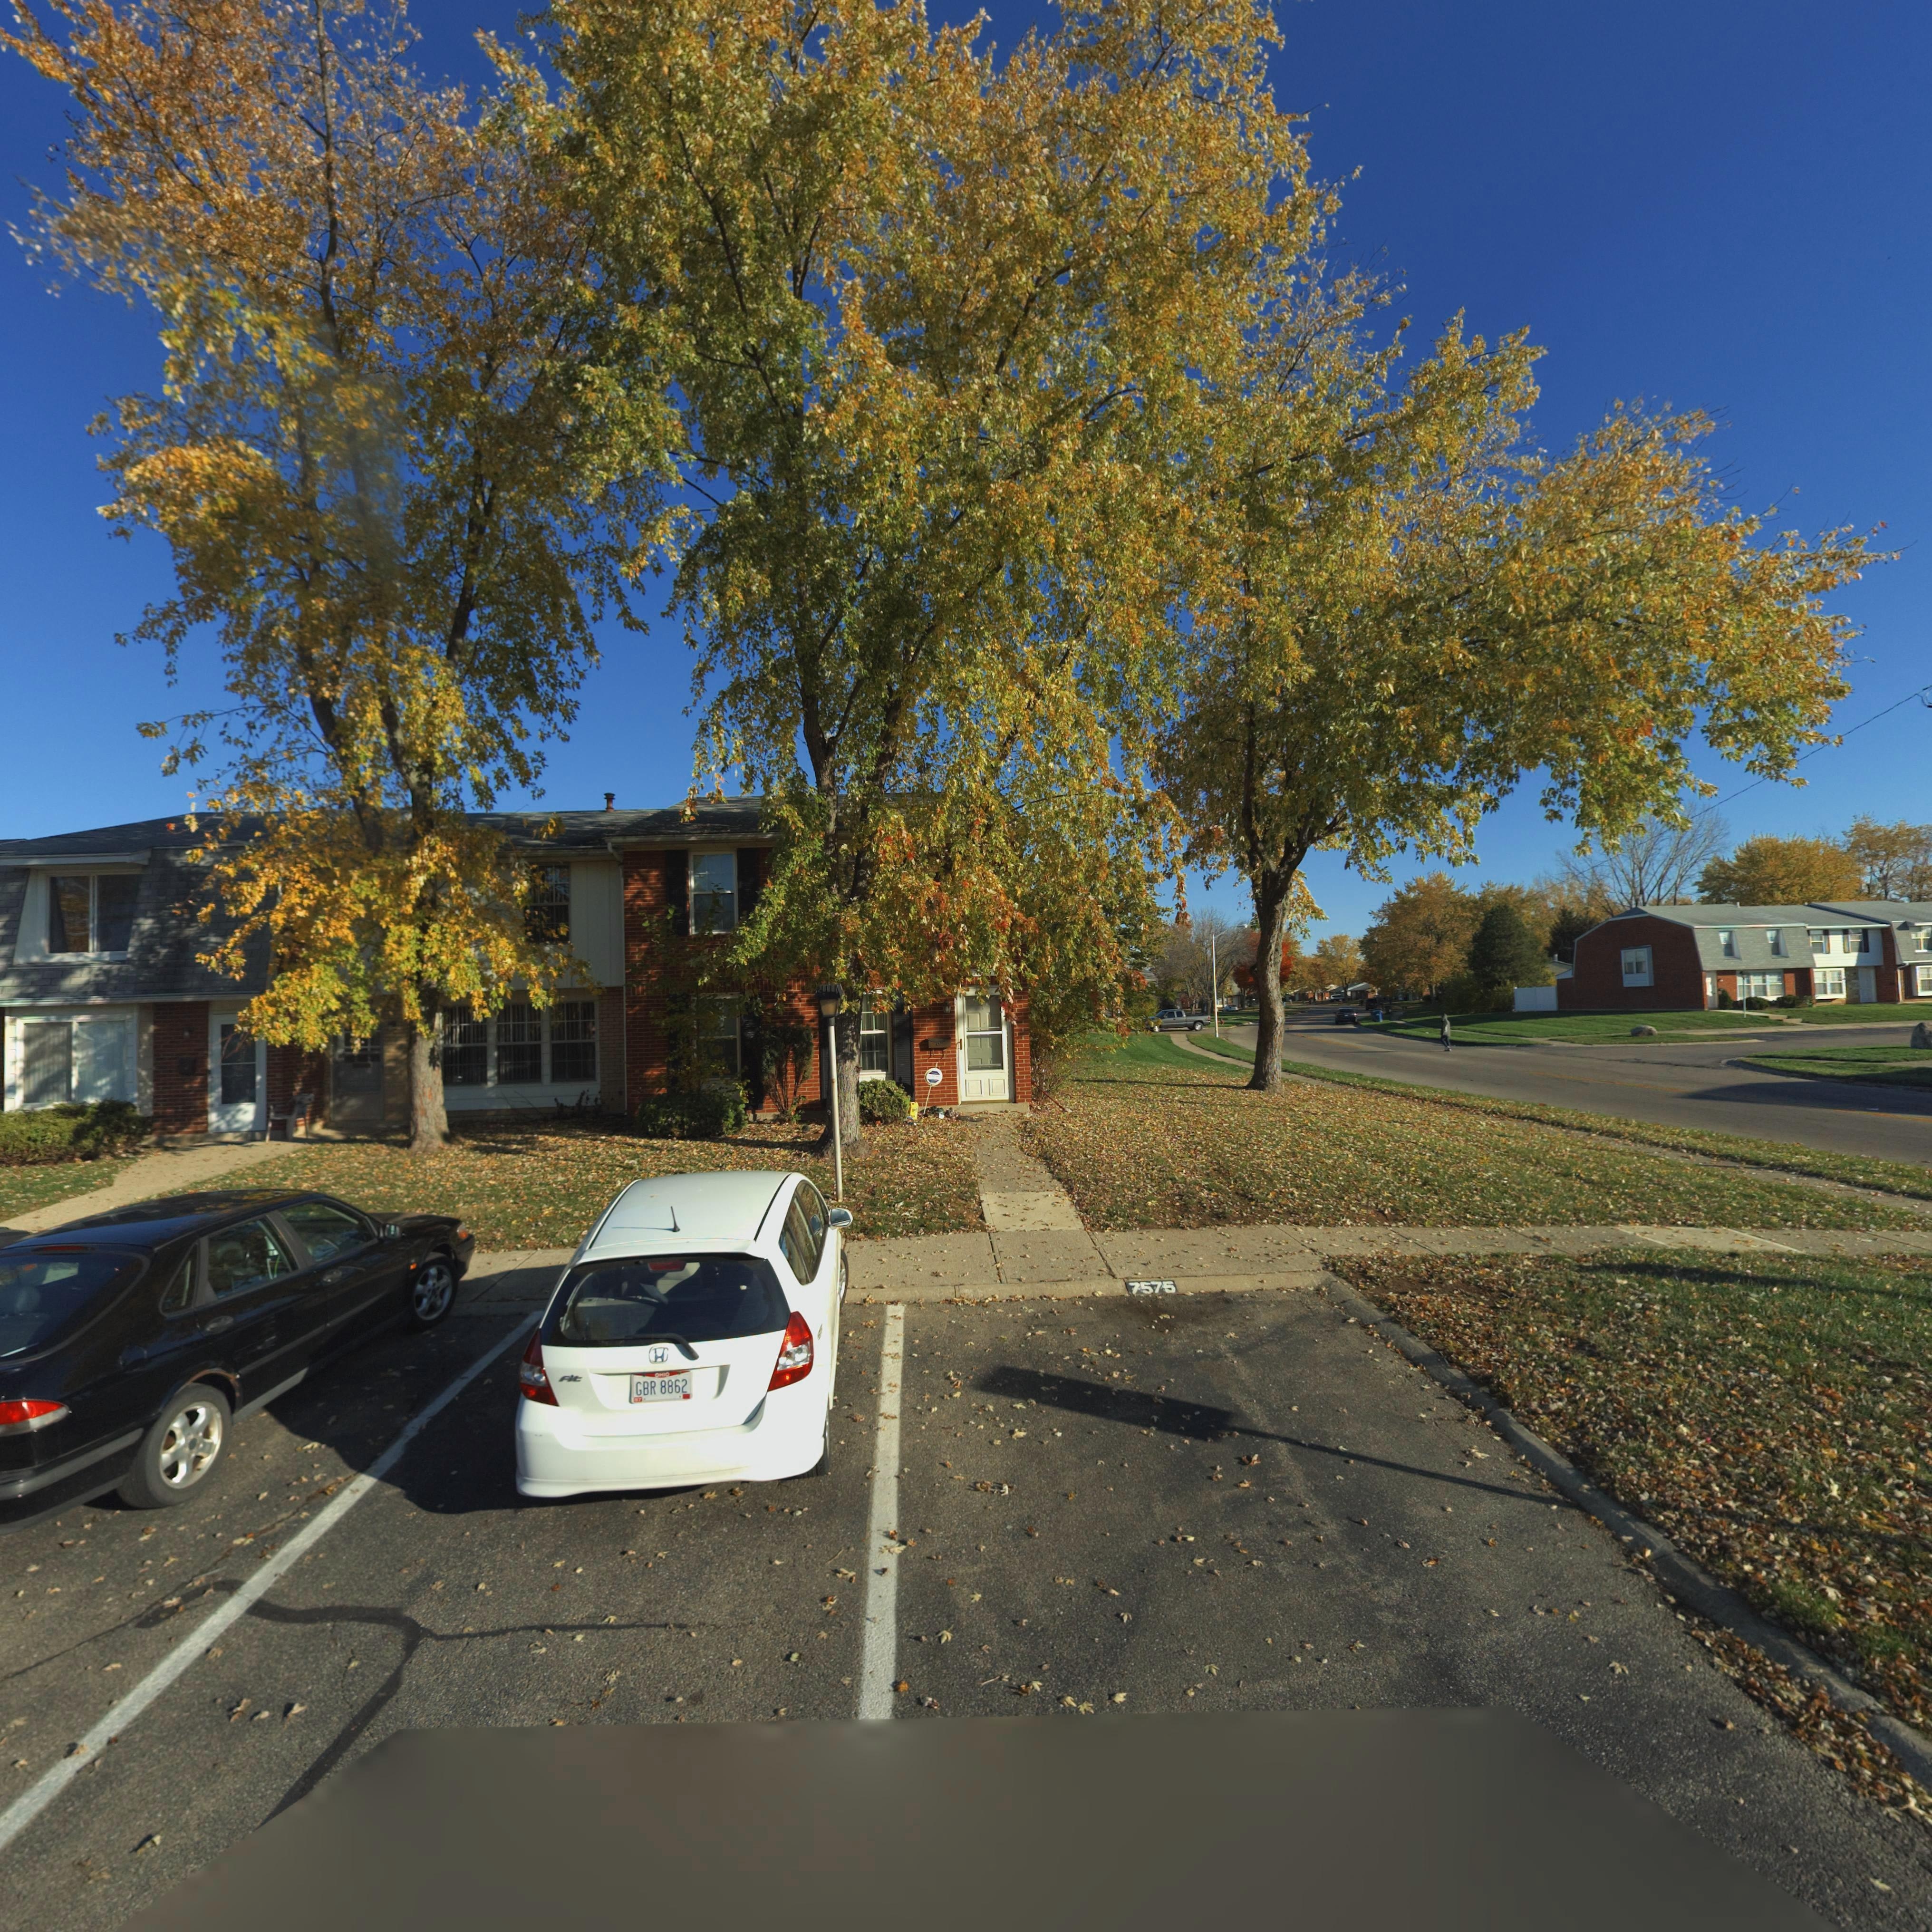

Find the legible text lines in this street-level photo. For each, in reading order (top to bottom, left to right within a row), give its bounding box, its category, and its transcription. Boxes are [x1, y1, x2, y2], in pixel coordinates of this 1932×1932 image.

[973, 970, 978, 976] StreetNumber: 7
[1128, 1280, 1178, 1295] StreetNumber: 7575